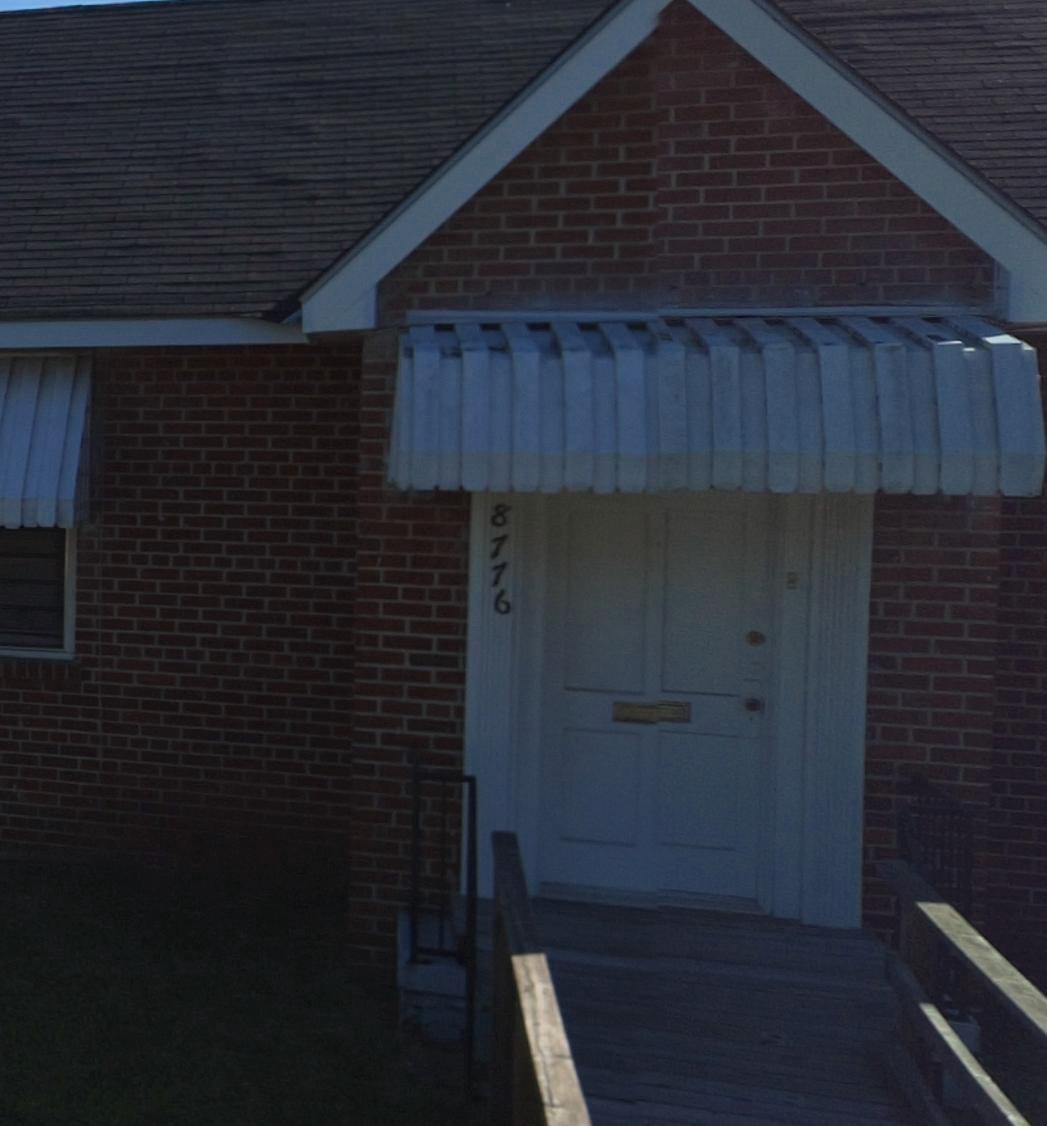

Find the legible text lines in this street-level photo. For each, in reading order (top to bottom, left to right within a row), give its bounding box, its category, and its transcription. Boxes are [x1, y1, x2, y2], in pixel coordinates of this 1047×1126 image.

[485, 499, 517, 621] StreetNumber: 8776